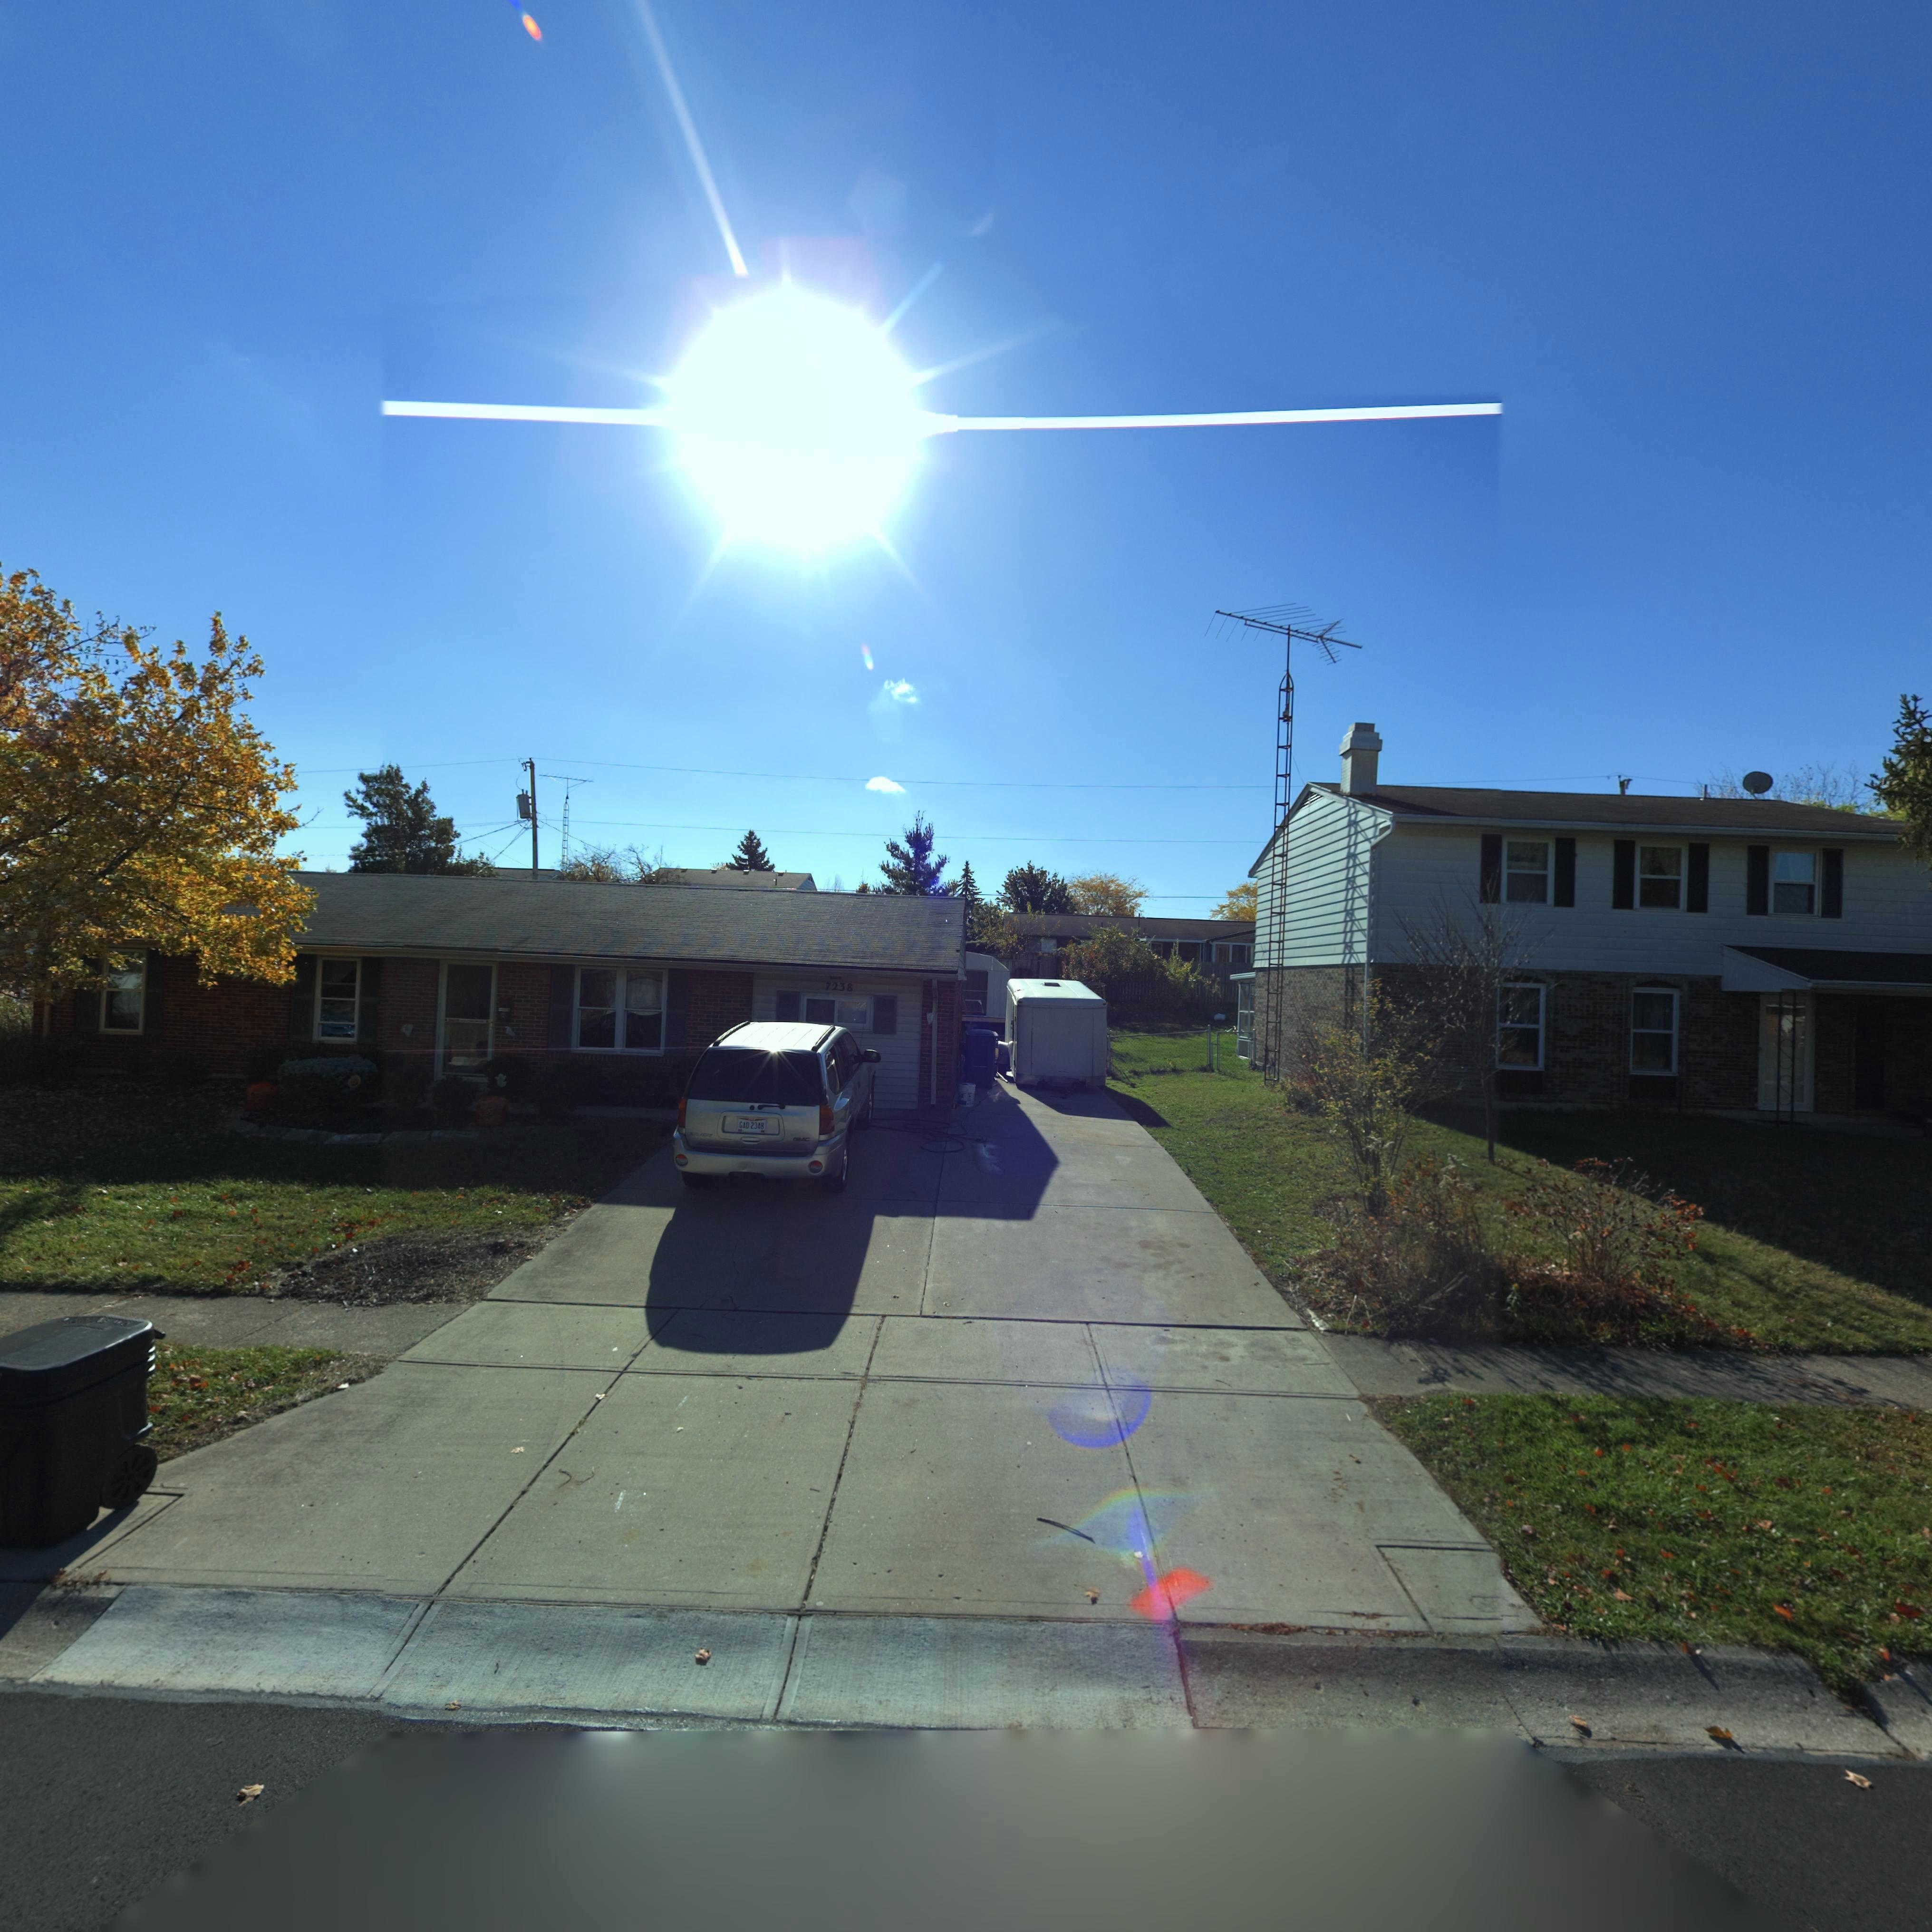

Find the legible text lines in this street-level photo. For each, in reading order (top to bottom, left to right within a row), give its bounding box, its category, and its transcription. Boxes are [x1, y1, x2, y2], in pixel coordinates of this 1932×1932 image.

[824, 981, 854, 993] StreetNumber: 7238